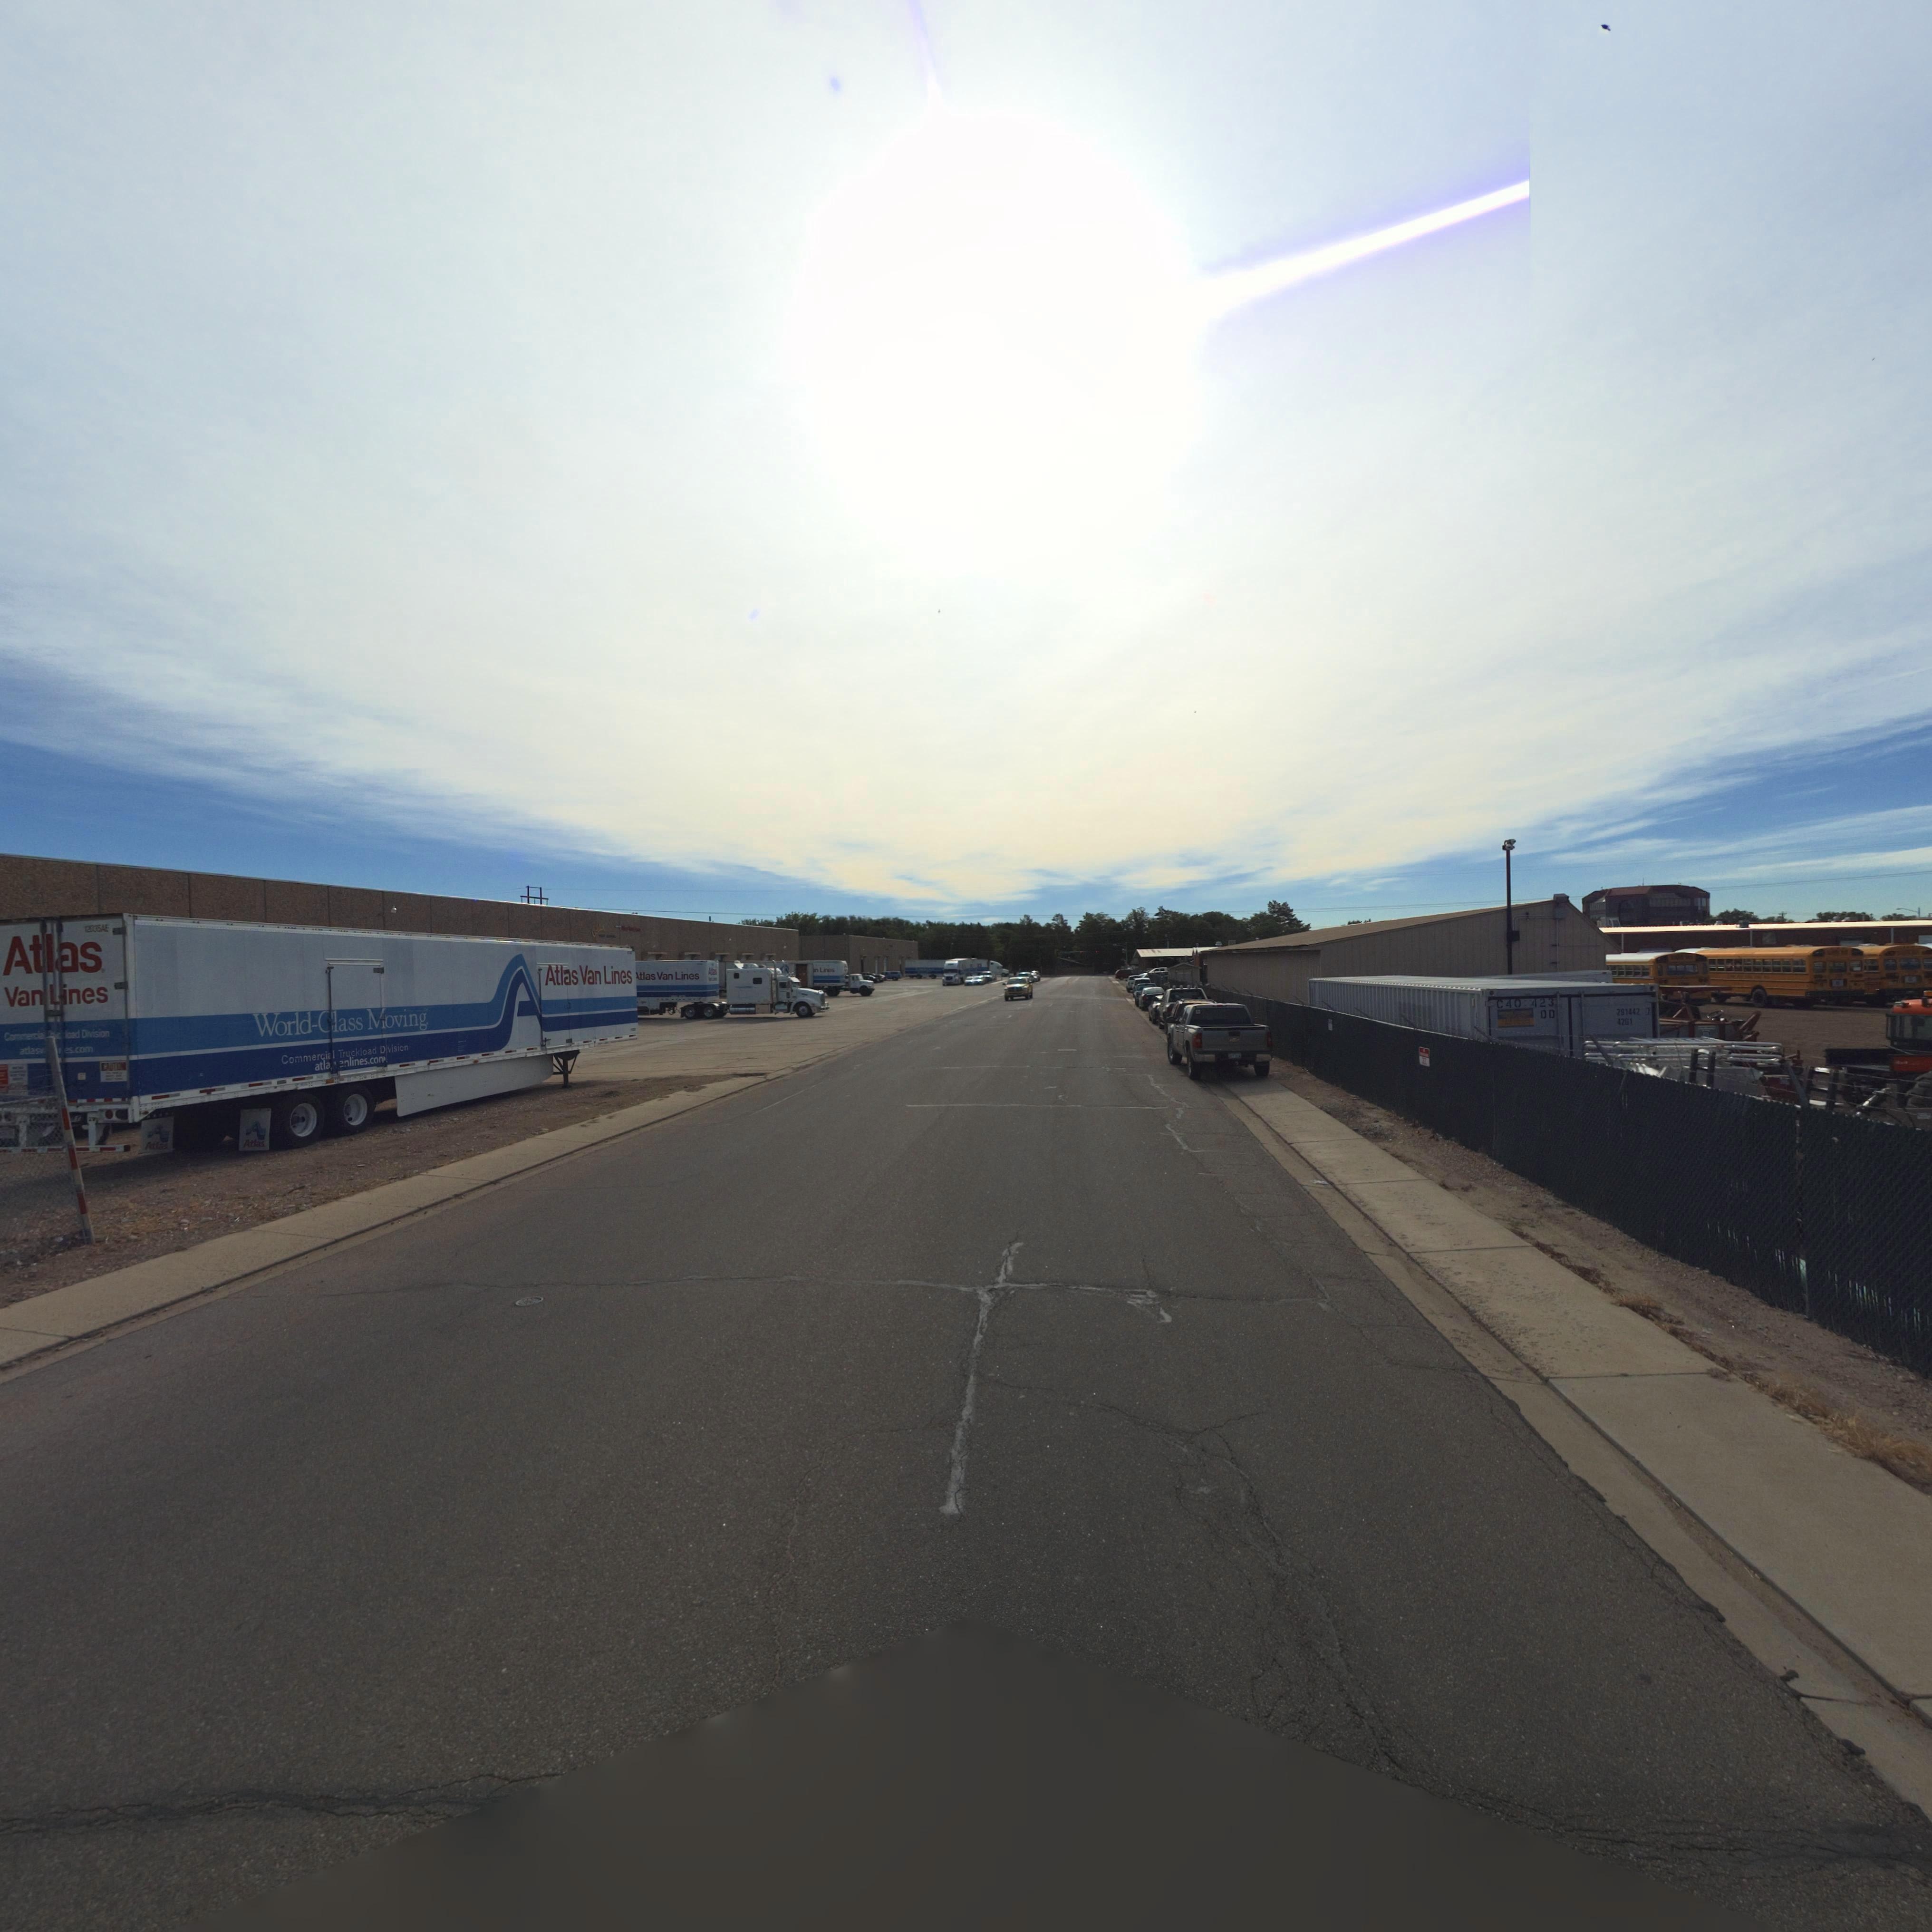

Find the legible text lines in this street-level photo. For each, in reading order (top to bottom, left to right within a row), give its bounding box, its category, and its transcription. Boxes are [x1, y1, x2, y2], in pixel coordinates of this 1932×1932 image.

[591, 922, 605, 940] BusinessName: g*****